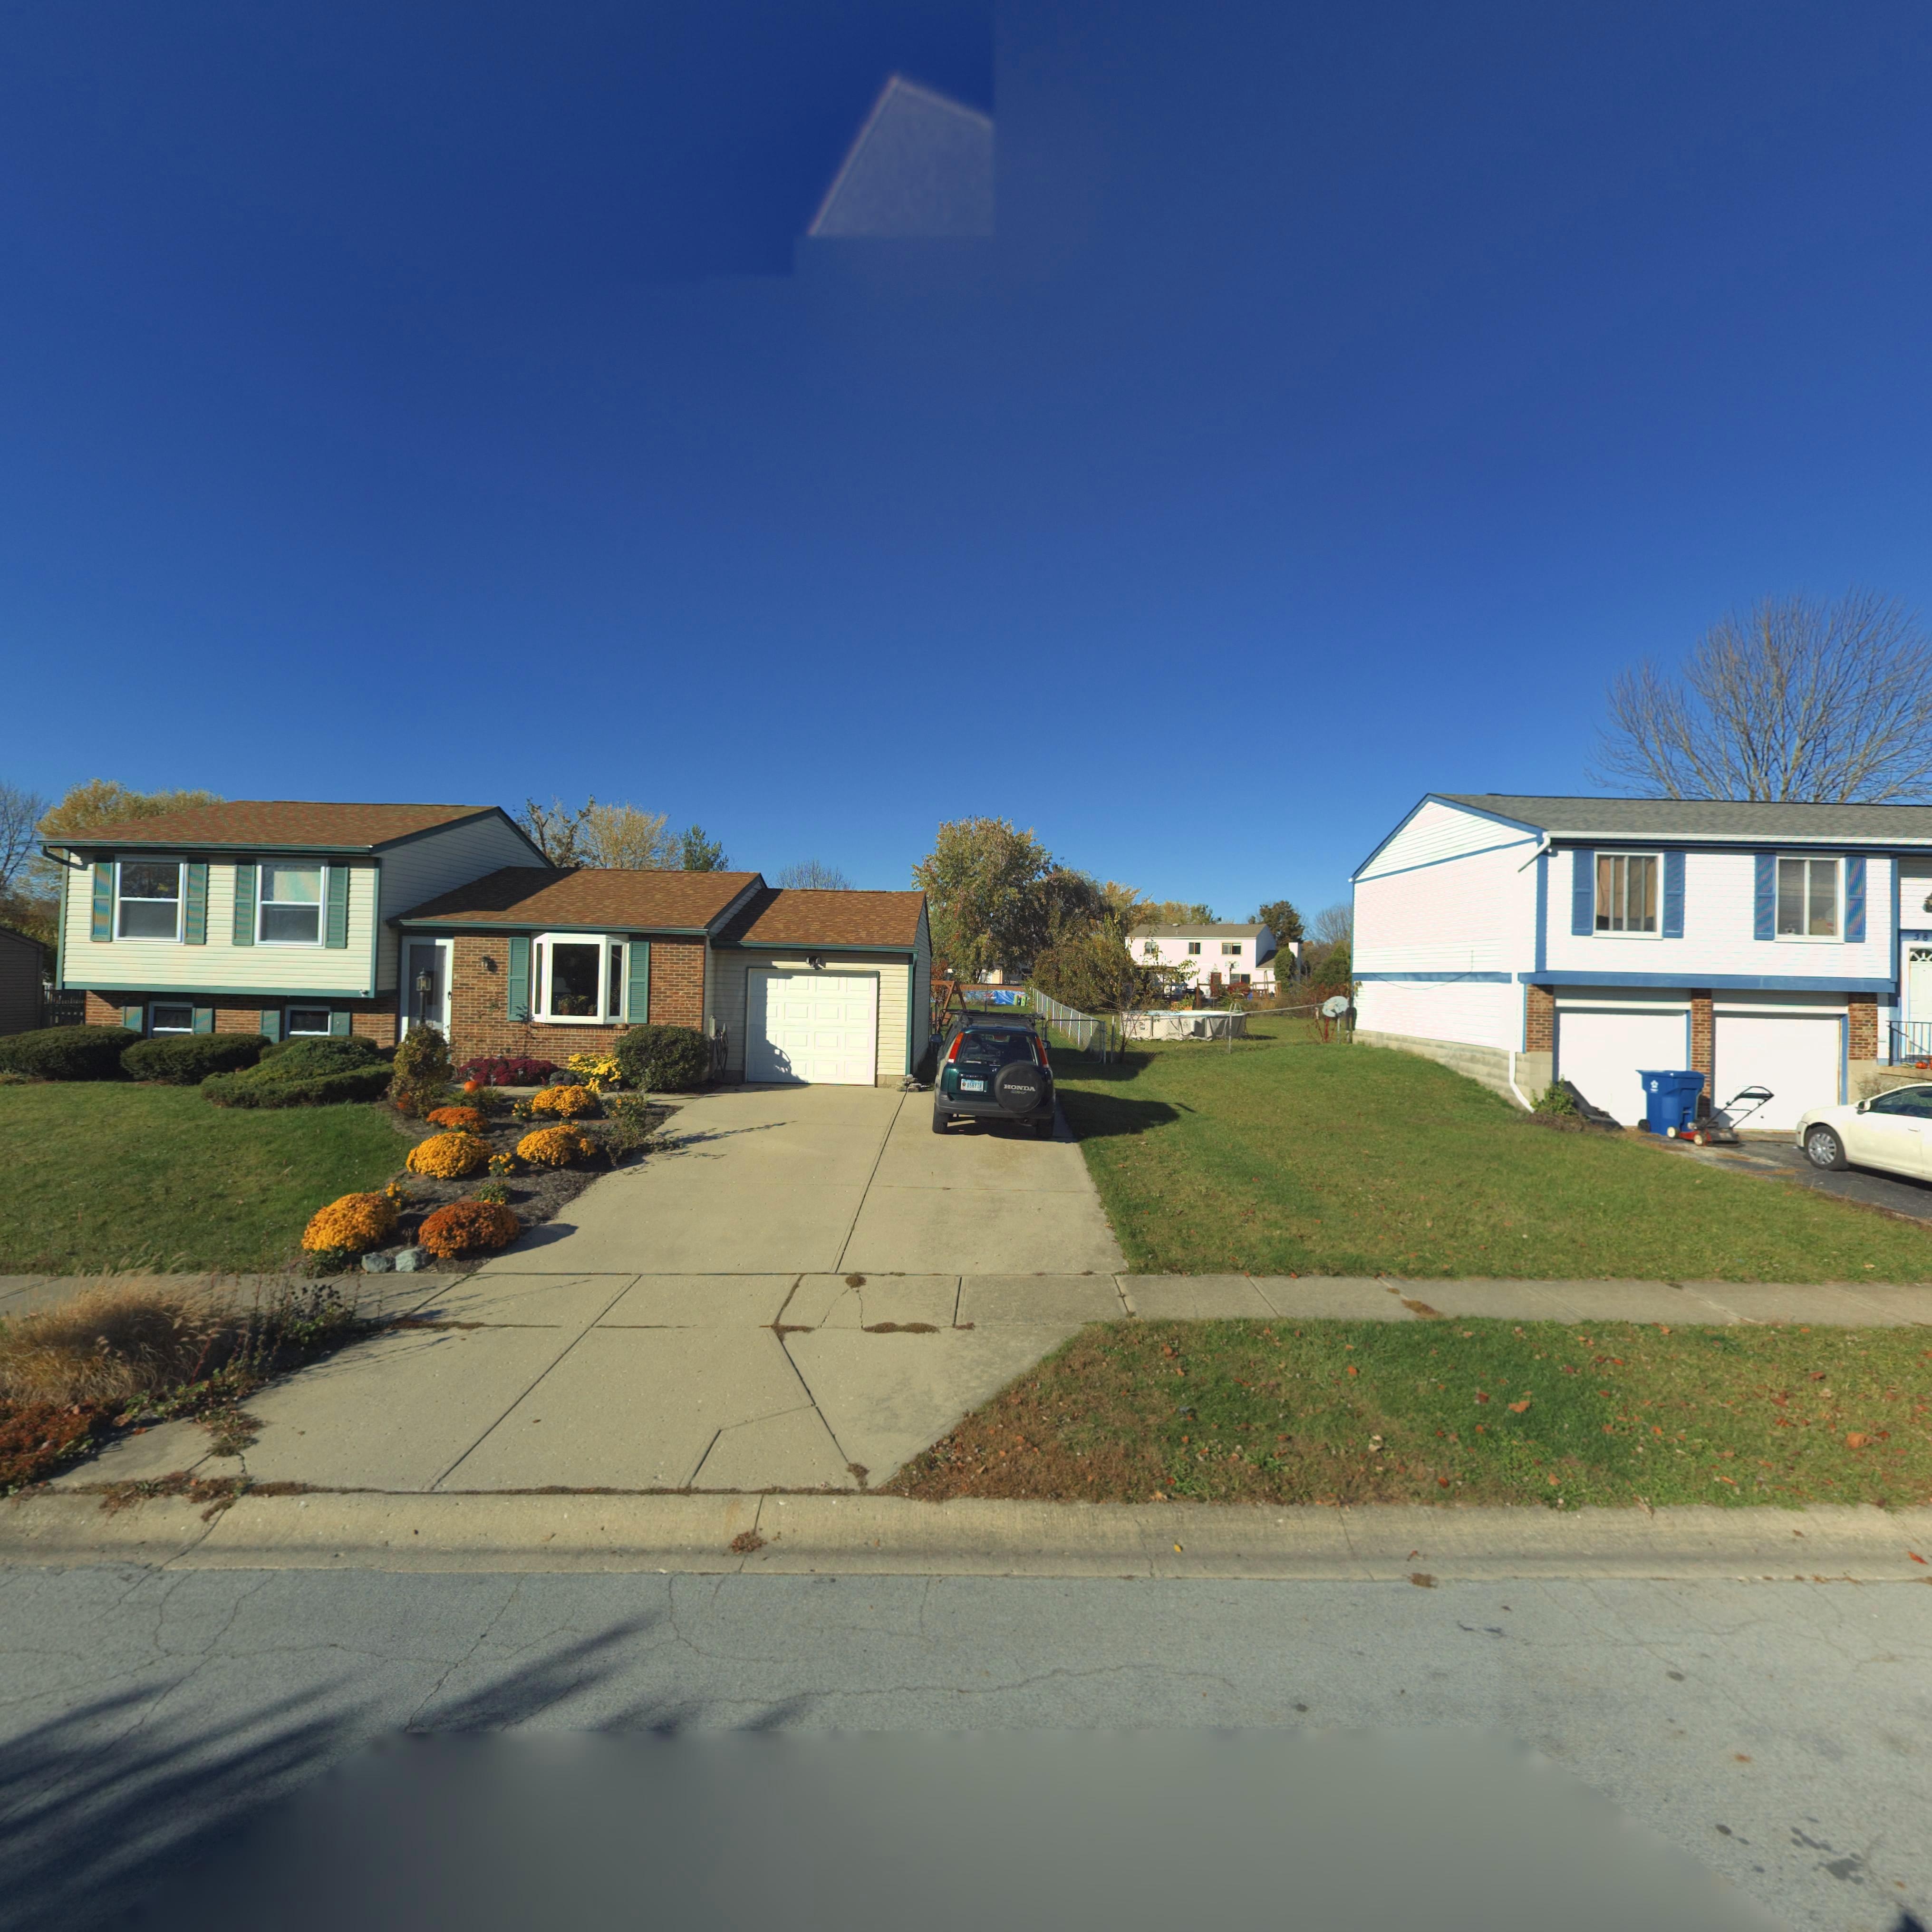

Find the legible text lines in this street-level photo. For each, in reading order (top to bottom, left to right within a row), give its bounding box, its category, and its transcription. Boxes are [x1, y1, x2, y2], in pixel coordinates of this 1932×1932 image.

[1913, 932, 1929, 941] StreetNumber: 58